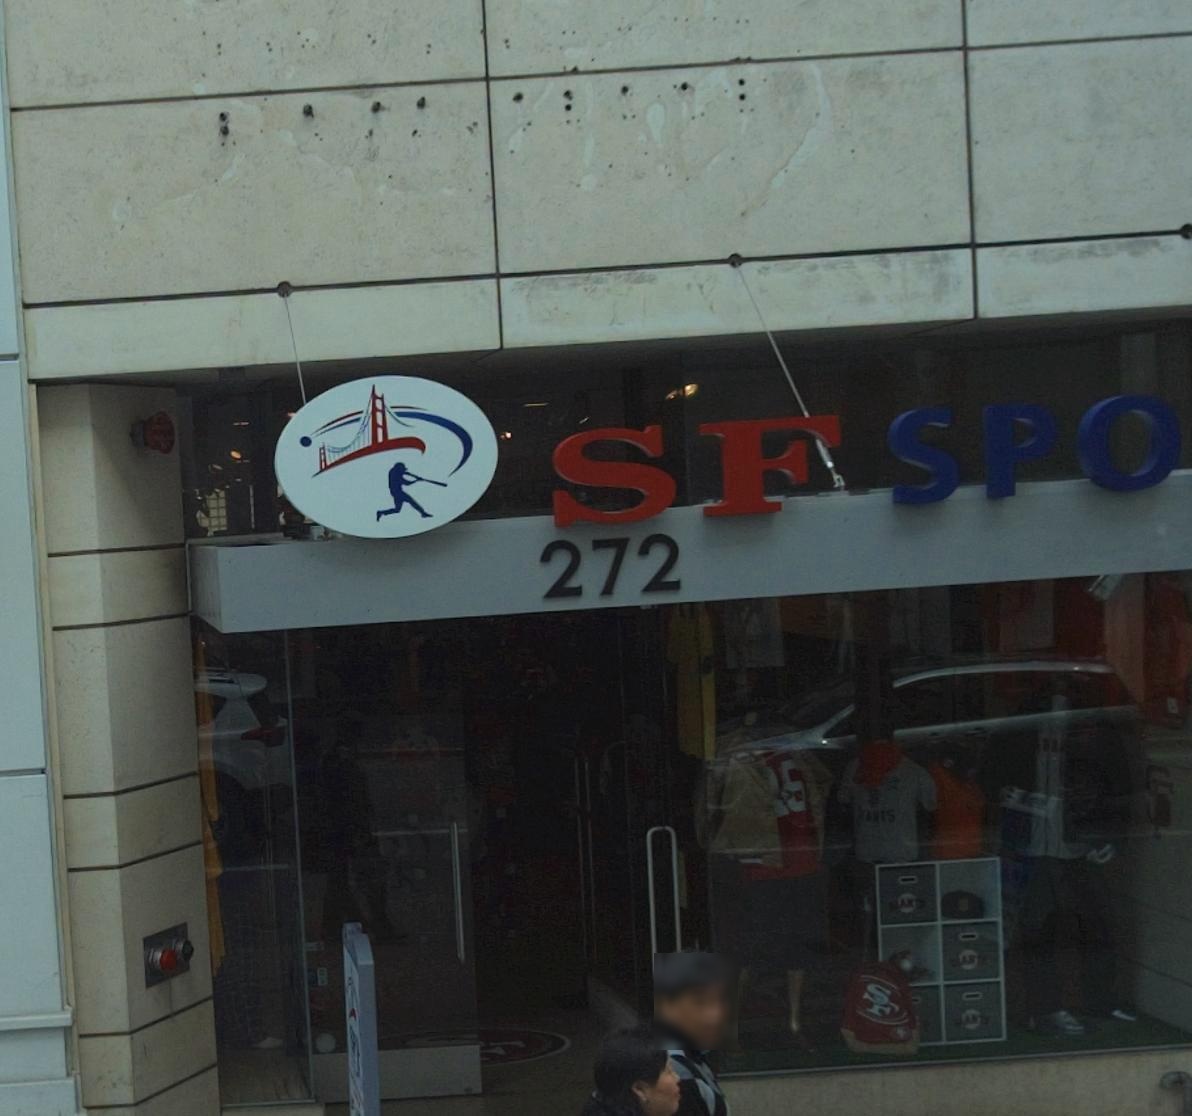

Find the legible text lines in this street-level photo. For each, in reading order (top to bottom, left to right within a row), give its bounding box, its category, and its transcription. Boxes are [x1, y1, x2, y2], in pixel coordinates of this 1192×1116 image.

[546, 389, 1189, 536] BusinessName: SF SPO
[533, 529, 686, 604] StreetNumber: 272
[857, 975, 905, 1026] None: SF